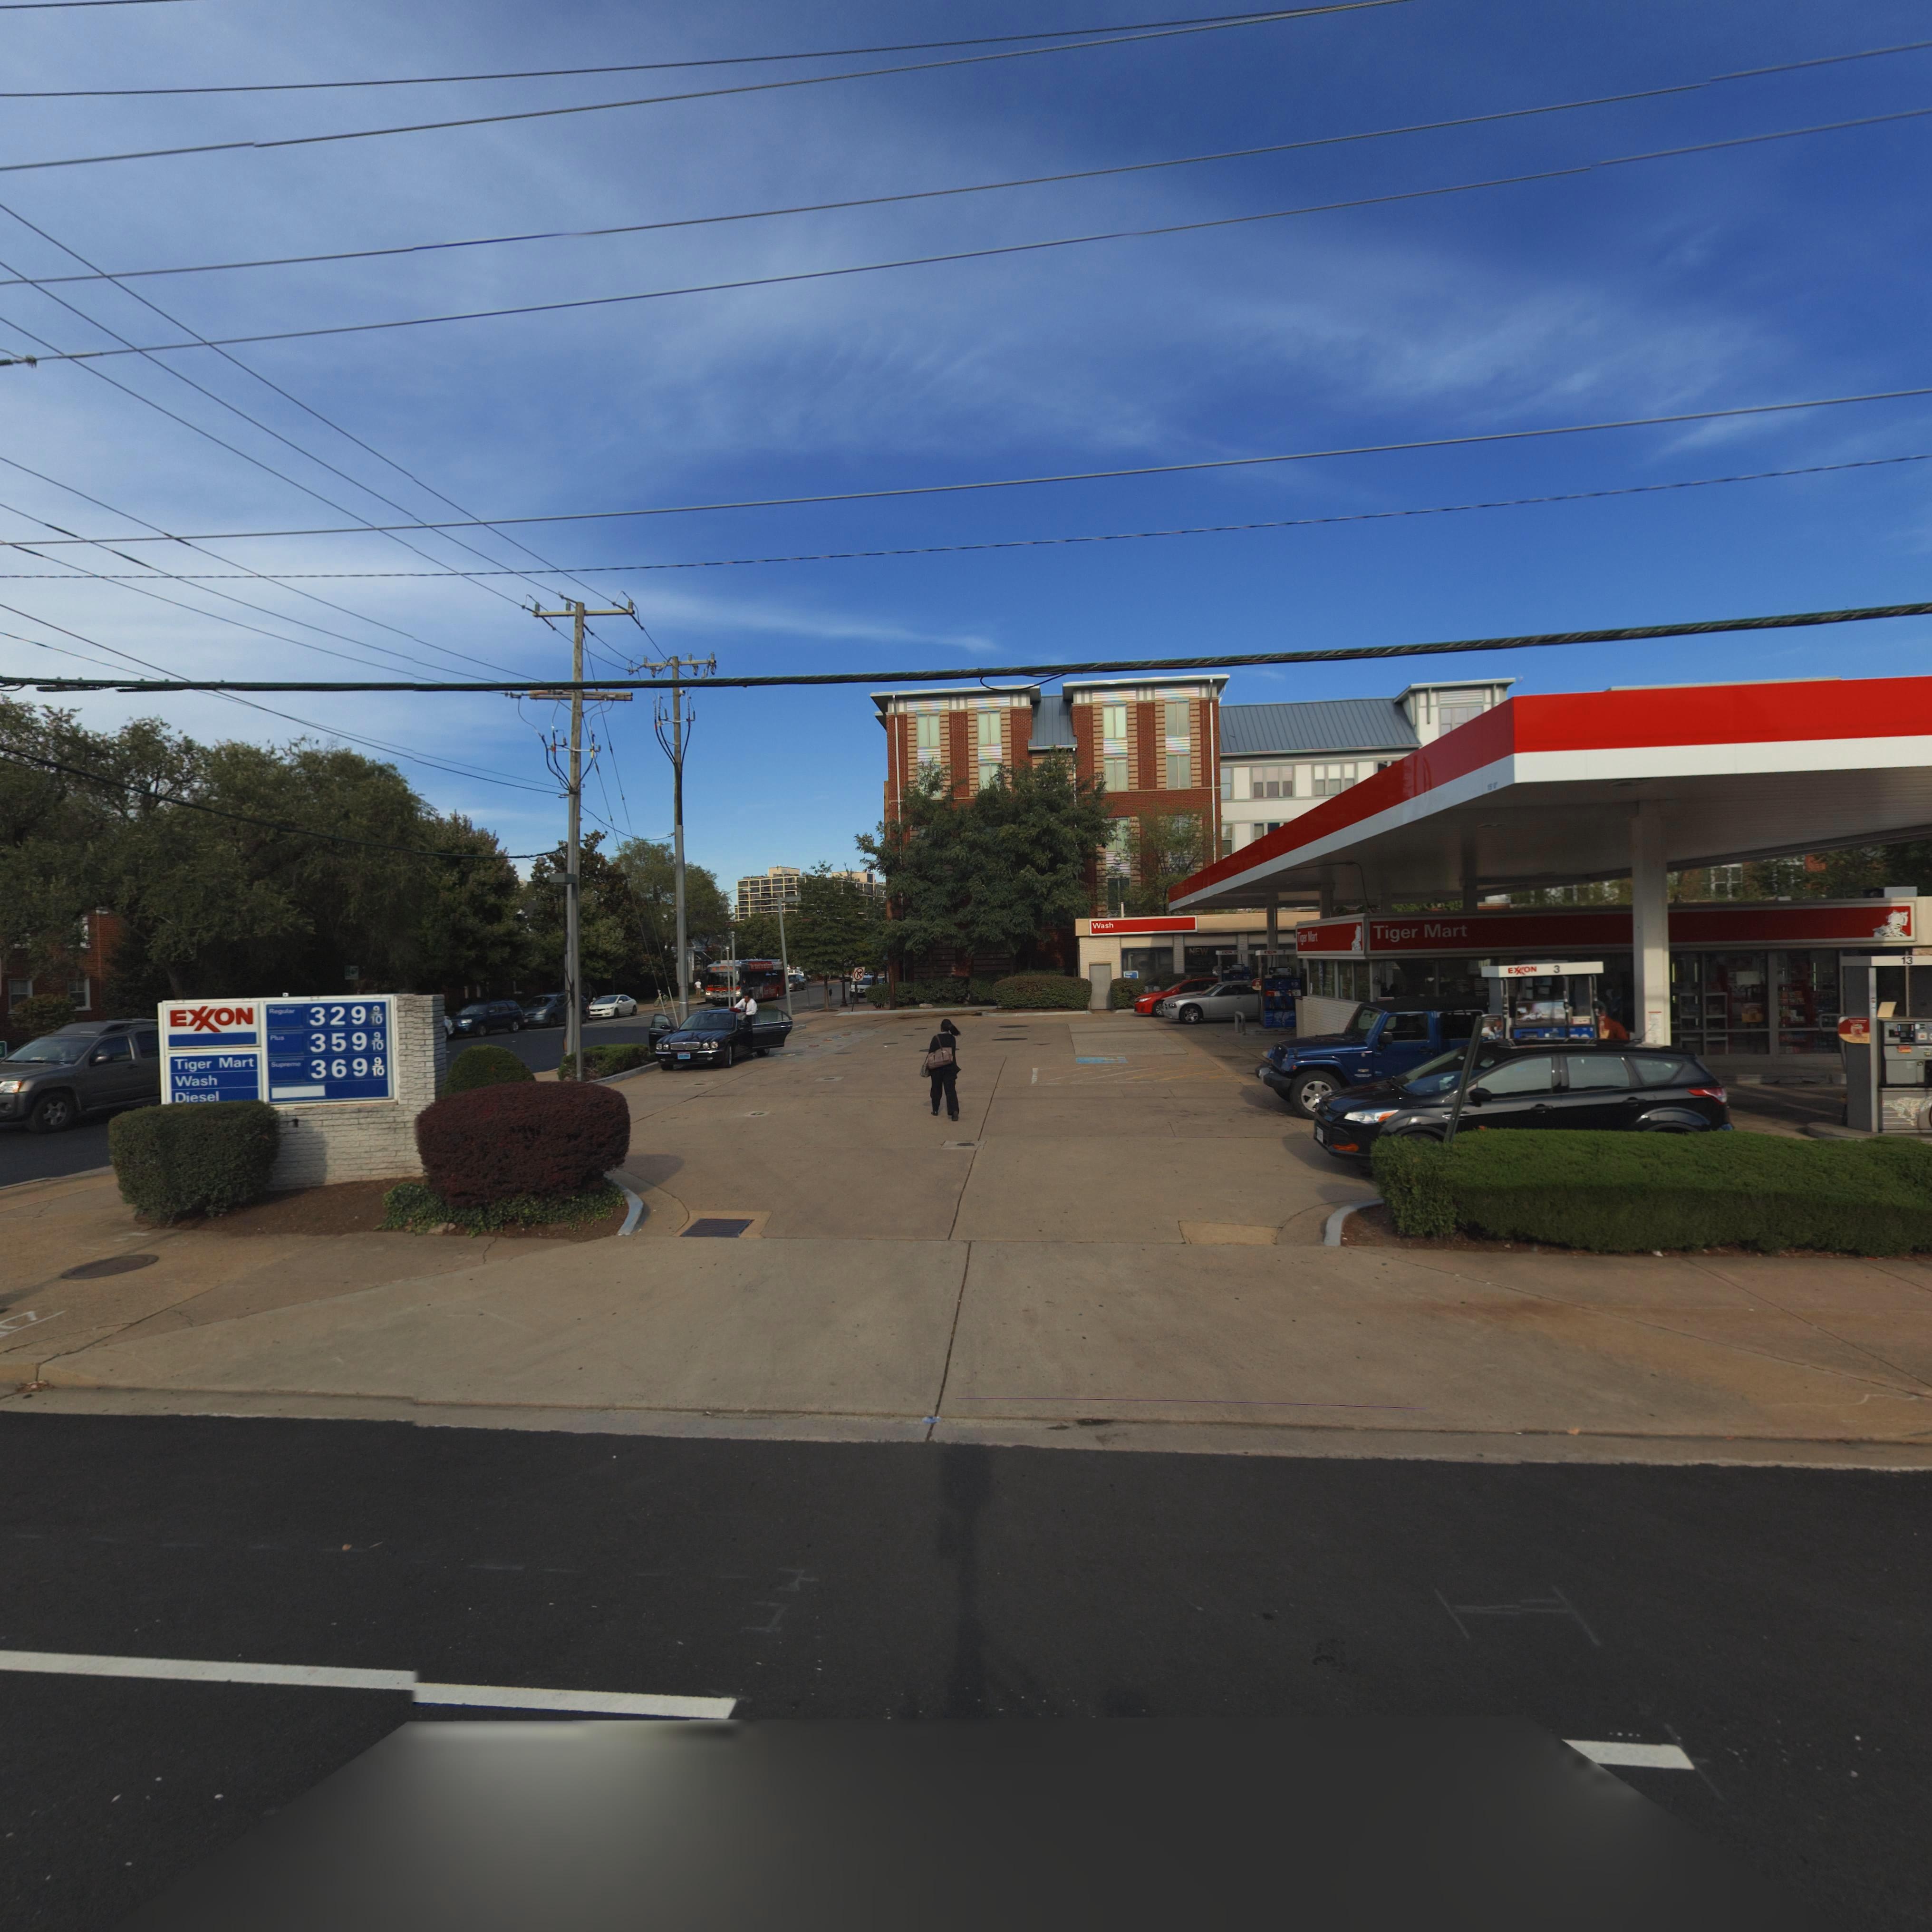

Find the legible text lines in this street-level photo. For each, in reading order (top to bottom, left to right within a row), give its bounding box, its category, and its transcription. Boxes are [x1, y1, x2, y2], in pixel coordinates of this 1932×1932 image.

[1487, 780, 1498, 792] None: 1* 0"
[1092, 922, 1114, 929] None: Wash
[1372, 924, 1468, 943] None: Tiger Mart
[1296, 930, 1318, 946] None: Tiger Mart
[1189, 947, 1209, 956] None: NEW
[1283, 950, 1286, 955] None: 7
[1901, 956, 1913, 965] None: 13
[1507, 966, 1537, 974] BusinessName: E**ON
[1554, 965, 1560, 974] None: 3
[169, 1005, 253, 1033] BusinessName: E*ON
[269, 1008, 296, 1015] None: Regular
[309, 1005, 366, 1026] None: 329
[372, 1005, 380, 1014] None: 9
[370, 1015, 383, 1024] None: 10
[270, 1035, 285, 1041] None: Plus
[309, 1032, 367, 1053] None: 359
[373, 1032, 381, 1040] None: 9
[371, 1042, 384, 1050] None: 10
[173, 1057, 255, 1072] None: Tiger Mart
[270, 1062, 301, 1069] None: Supreme
[310, 1058, 368, 1079] None: 369
[374, 1056, 382, 1066] None: 9
[371, 1067, 385, 1076] None: 10
[174, 1074, 218, 1087] None: Wash
[174, 1091, 220, 1103] None: Diesel